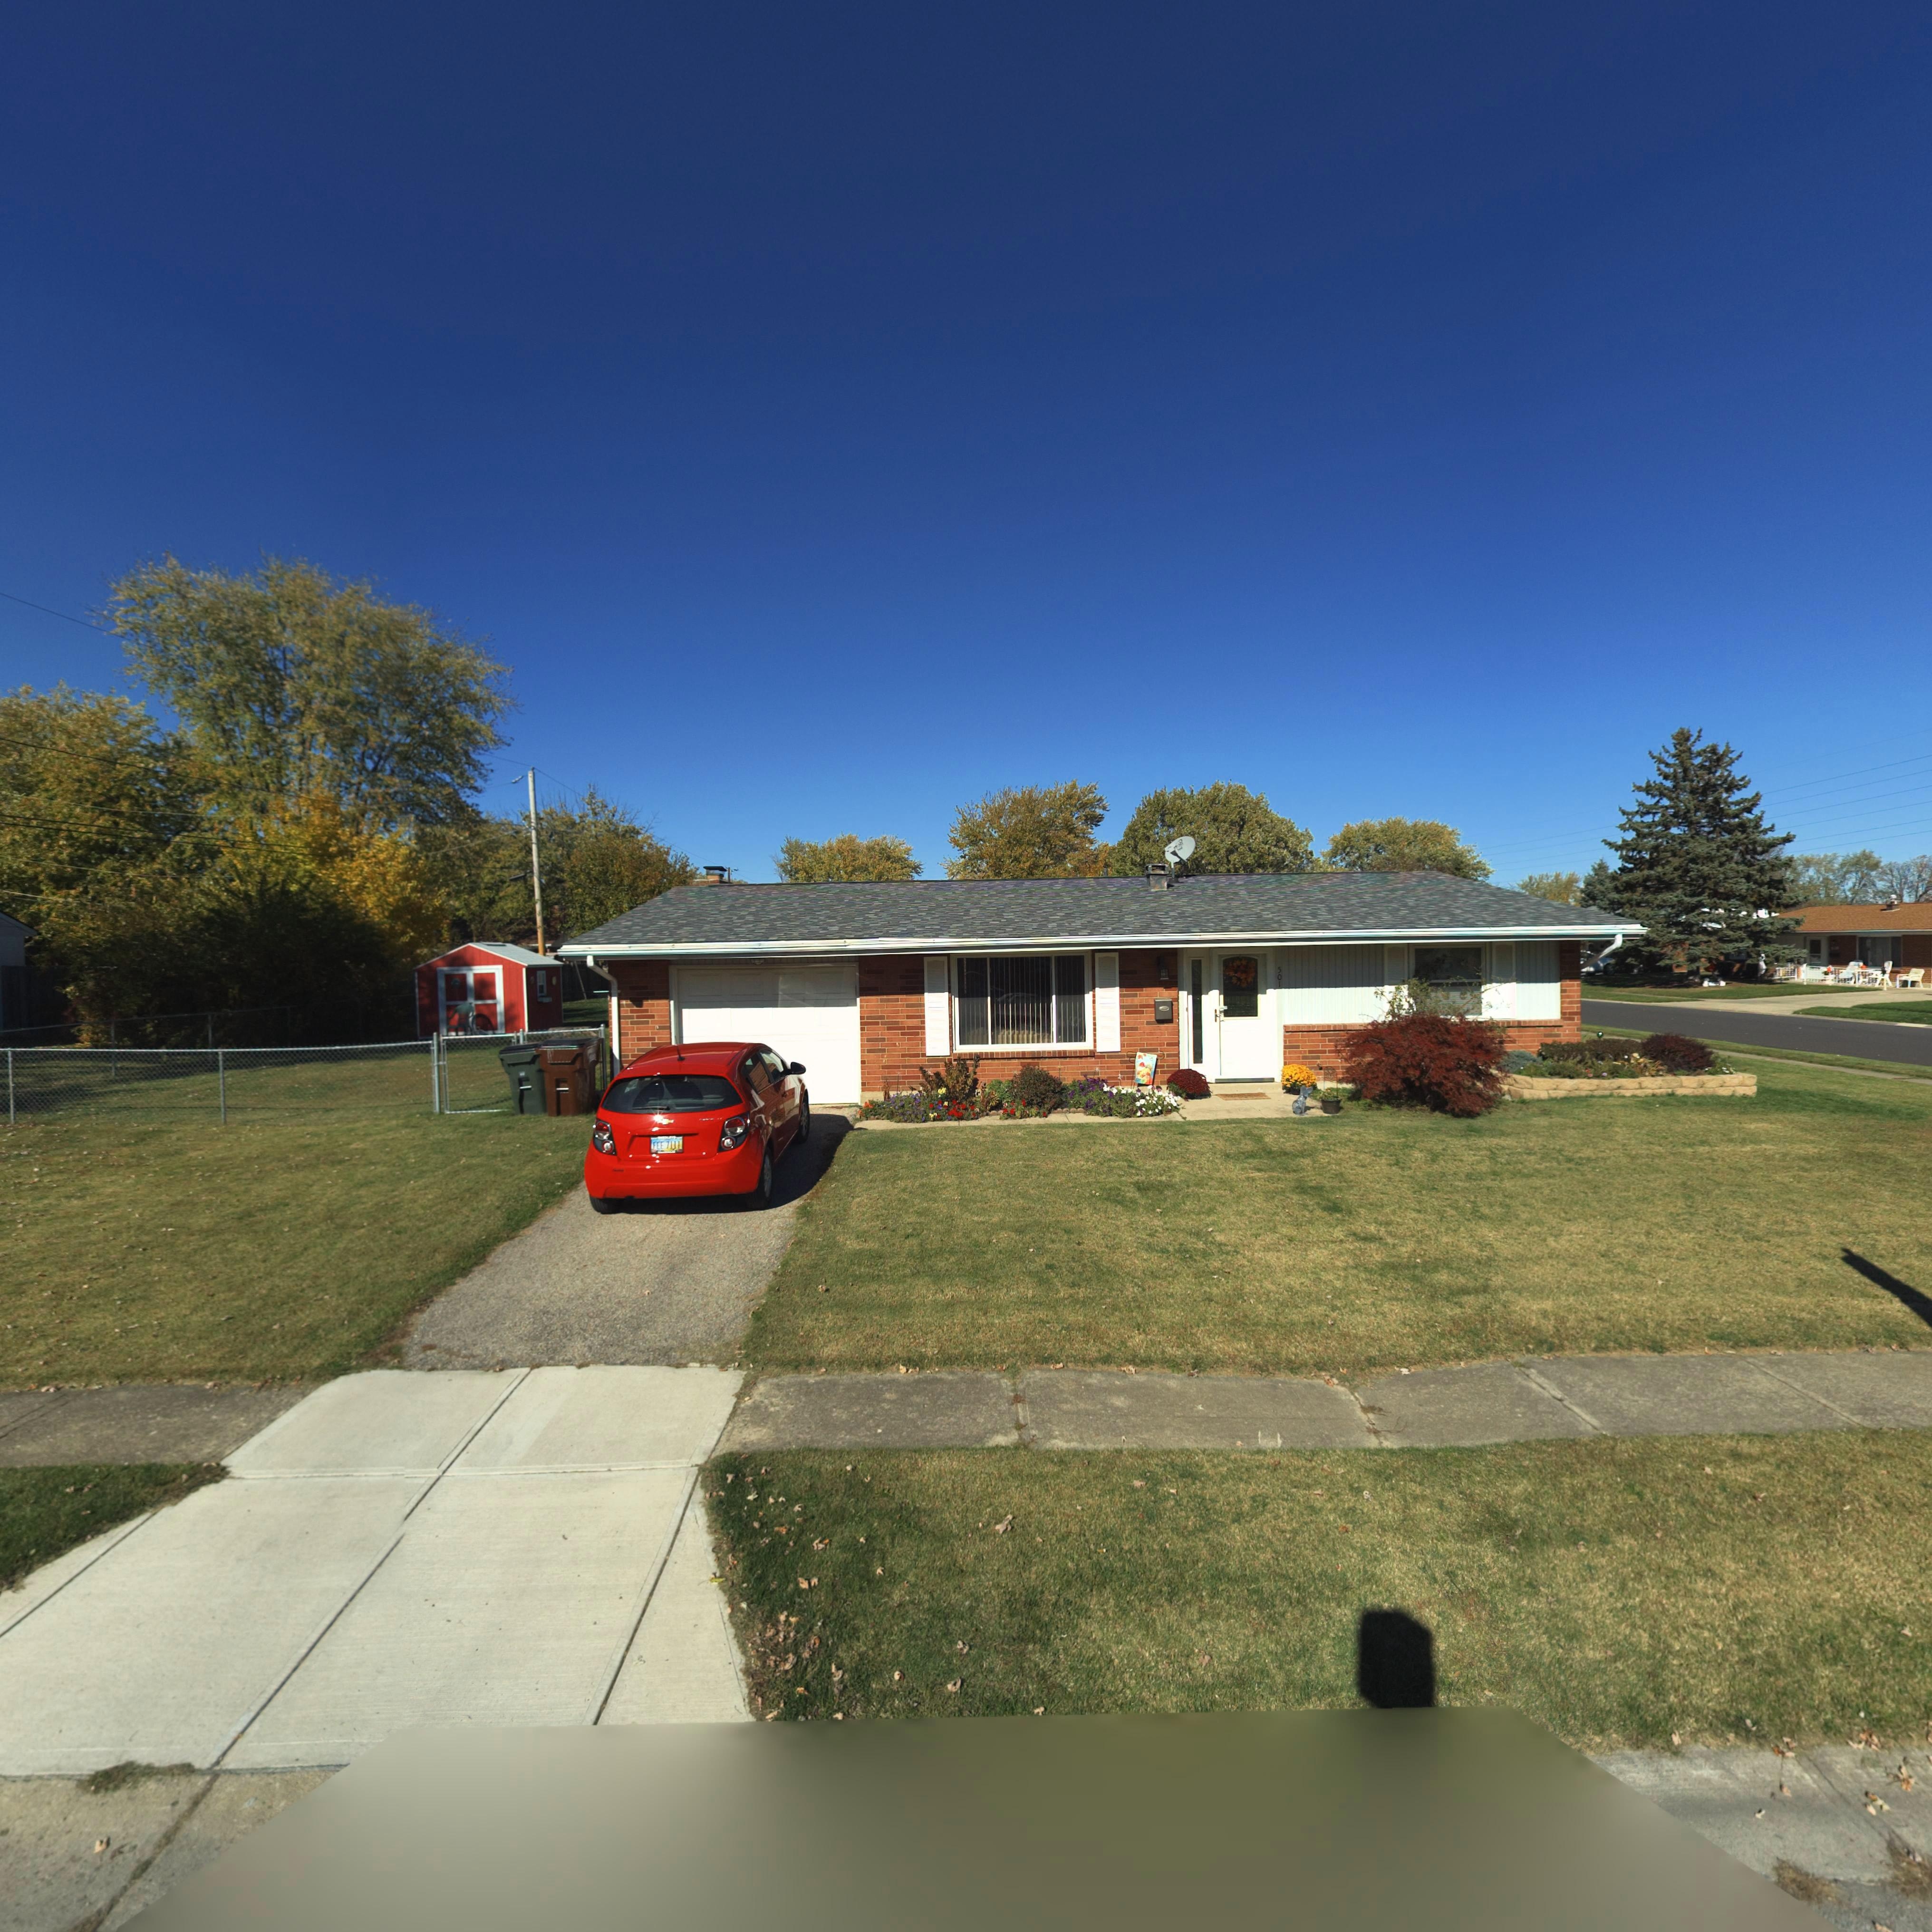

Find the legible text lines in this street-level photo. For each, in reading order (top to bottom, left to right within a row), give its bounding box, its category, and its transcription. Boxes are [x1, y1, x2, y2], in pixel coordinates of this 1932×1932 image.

[1277, 966, 1282, 988] StreetNumber: 501